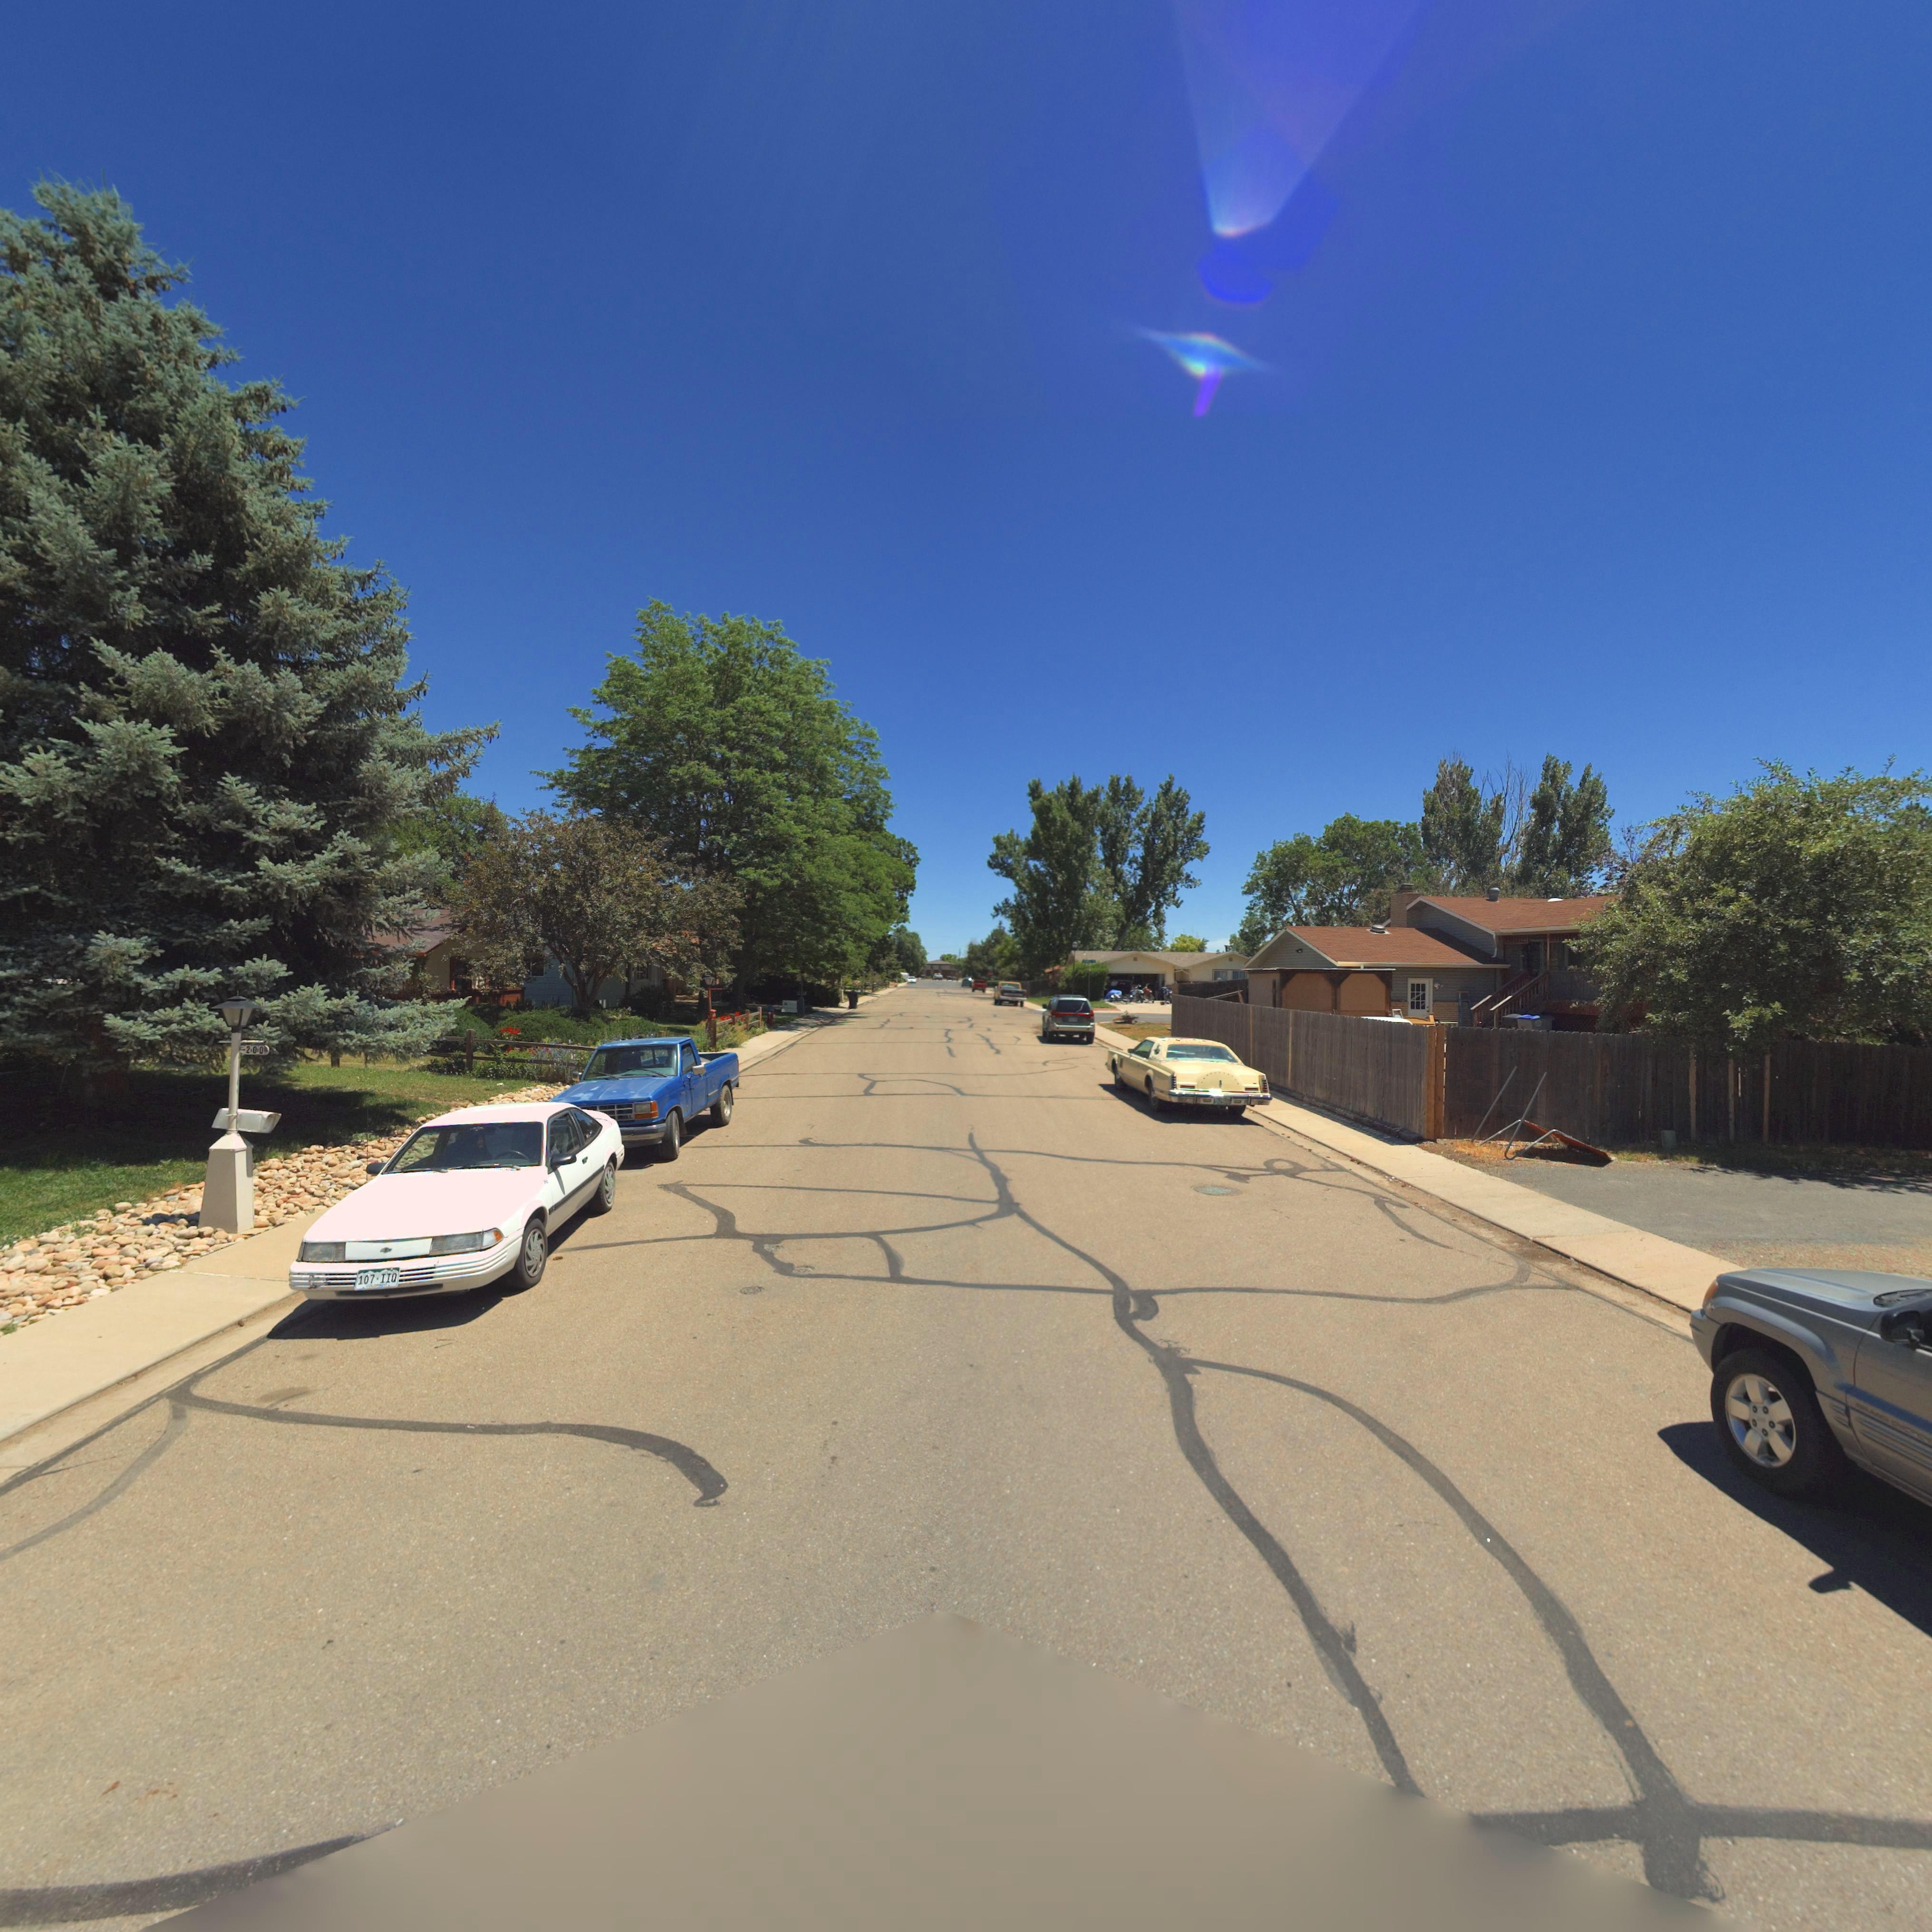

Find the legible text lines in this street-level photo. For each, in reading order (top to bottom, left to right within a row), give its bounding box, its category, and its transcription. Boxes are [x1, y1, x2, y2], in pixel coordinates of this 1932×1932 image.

[245, 1045, 264, 1054] StreetNumber: 200